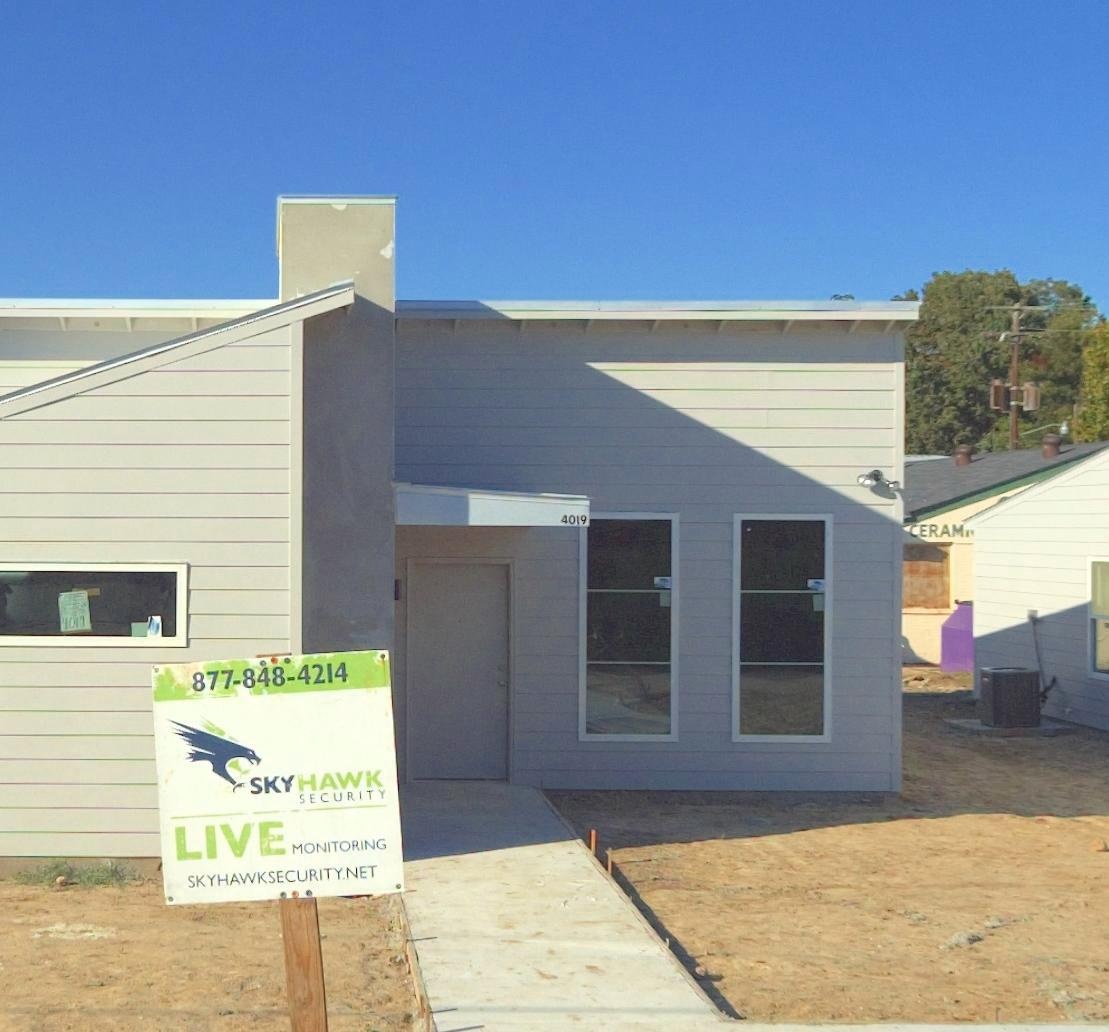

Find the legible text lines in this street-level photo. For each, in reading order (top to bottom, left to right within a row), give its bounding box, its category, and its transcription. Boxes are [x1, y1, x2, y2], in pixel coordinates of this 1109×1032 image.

[558, 512, 589, 527] StreetNumber: 4019
[907, 521, 965, 540] BusinessName: CERAM
[59, 612, 89, 632] StreetNumber: 4019
[189, 658, 350, 696] None: 877-848-4214
[247, 766, 385, 797] None: SKYHAWK
[297, 787, 388, 806] None: SECURITY
[173, 818, 390, 863] None: LIVE MONITORING
[185, 862, 380, 891] None: SKYHAWKSECURITY.NET